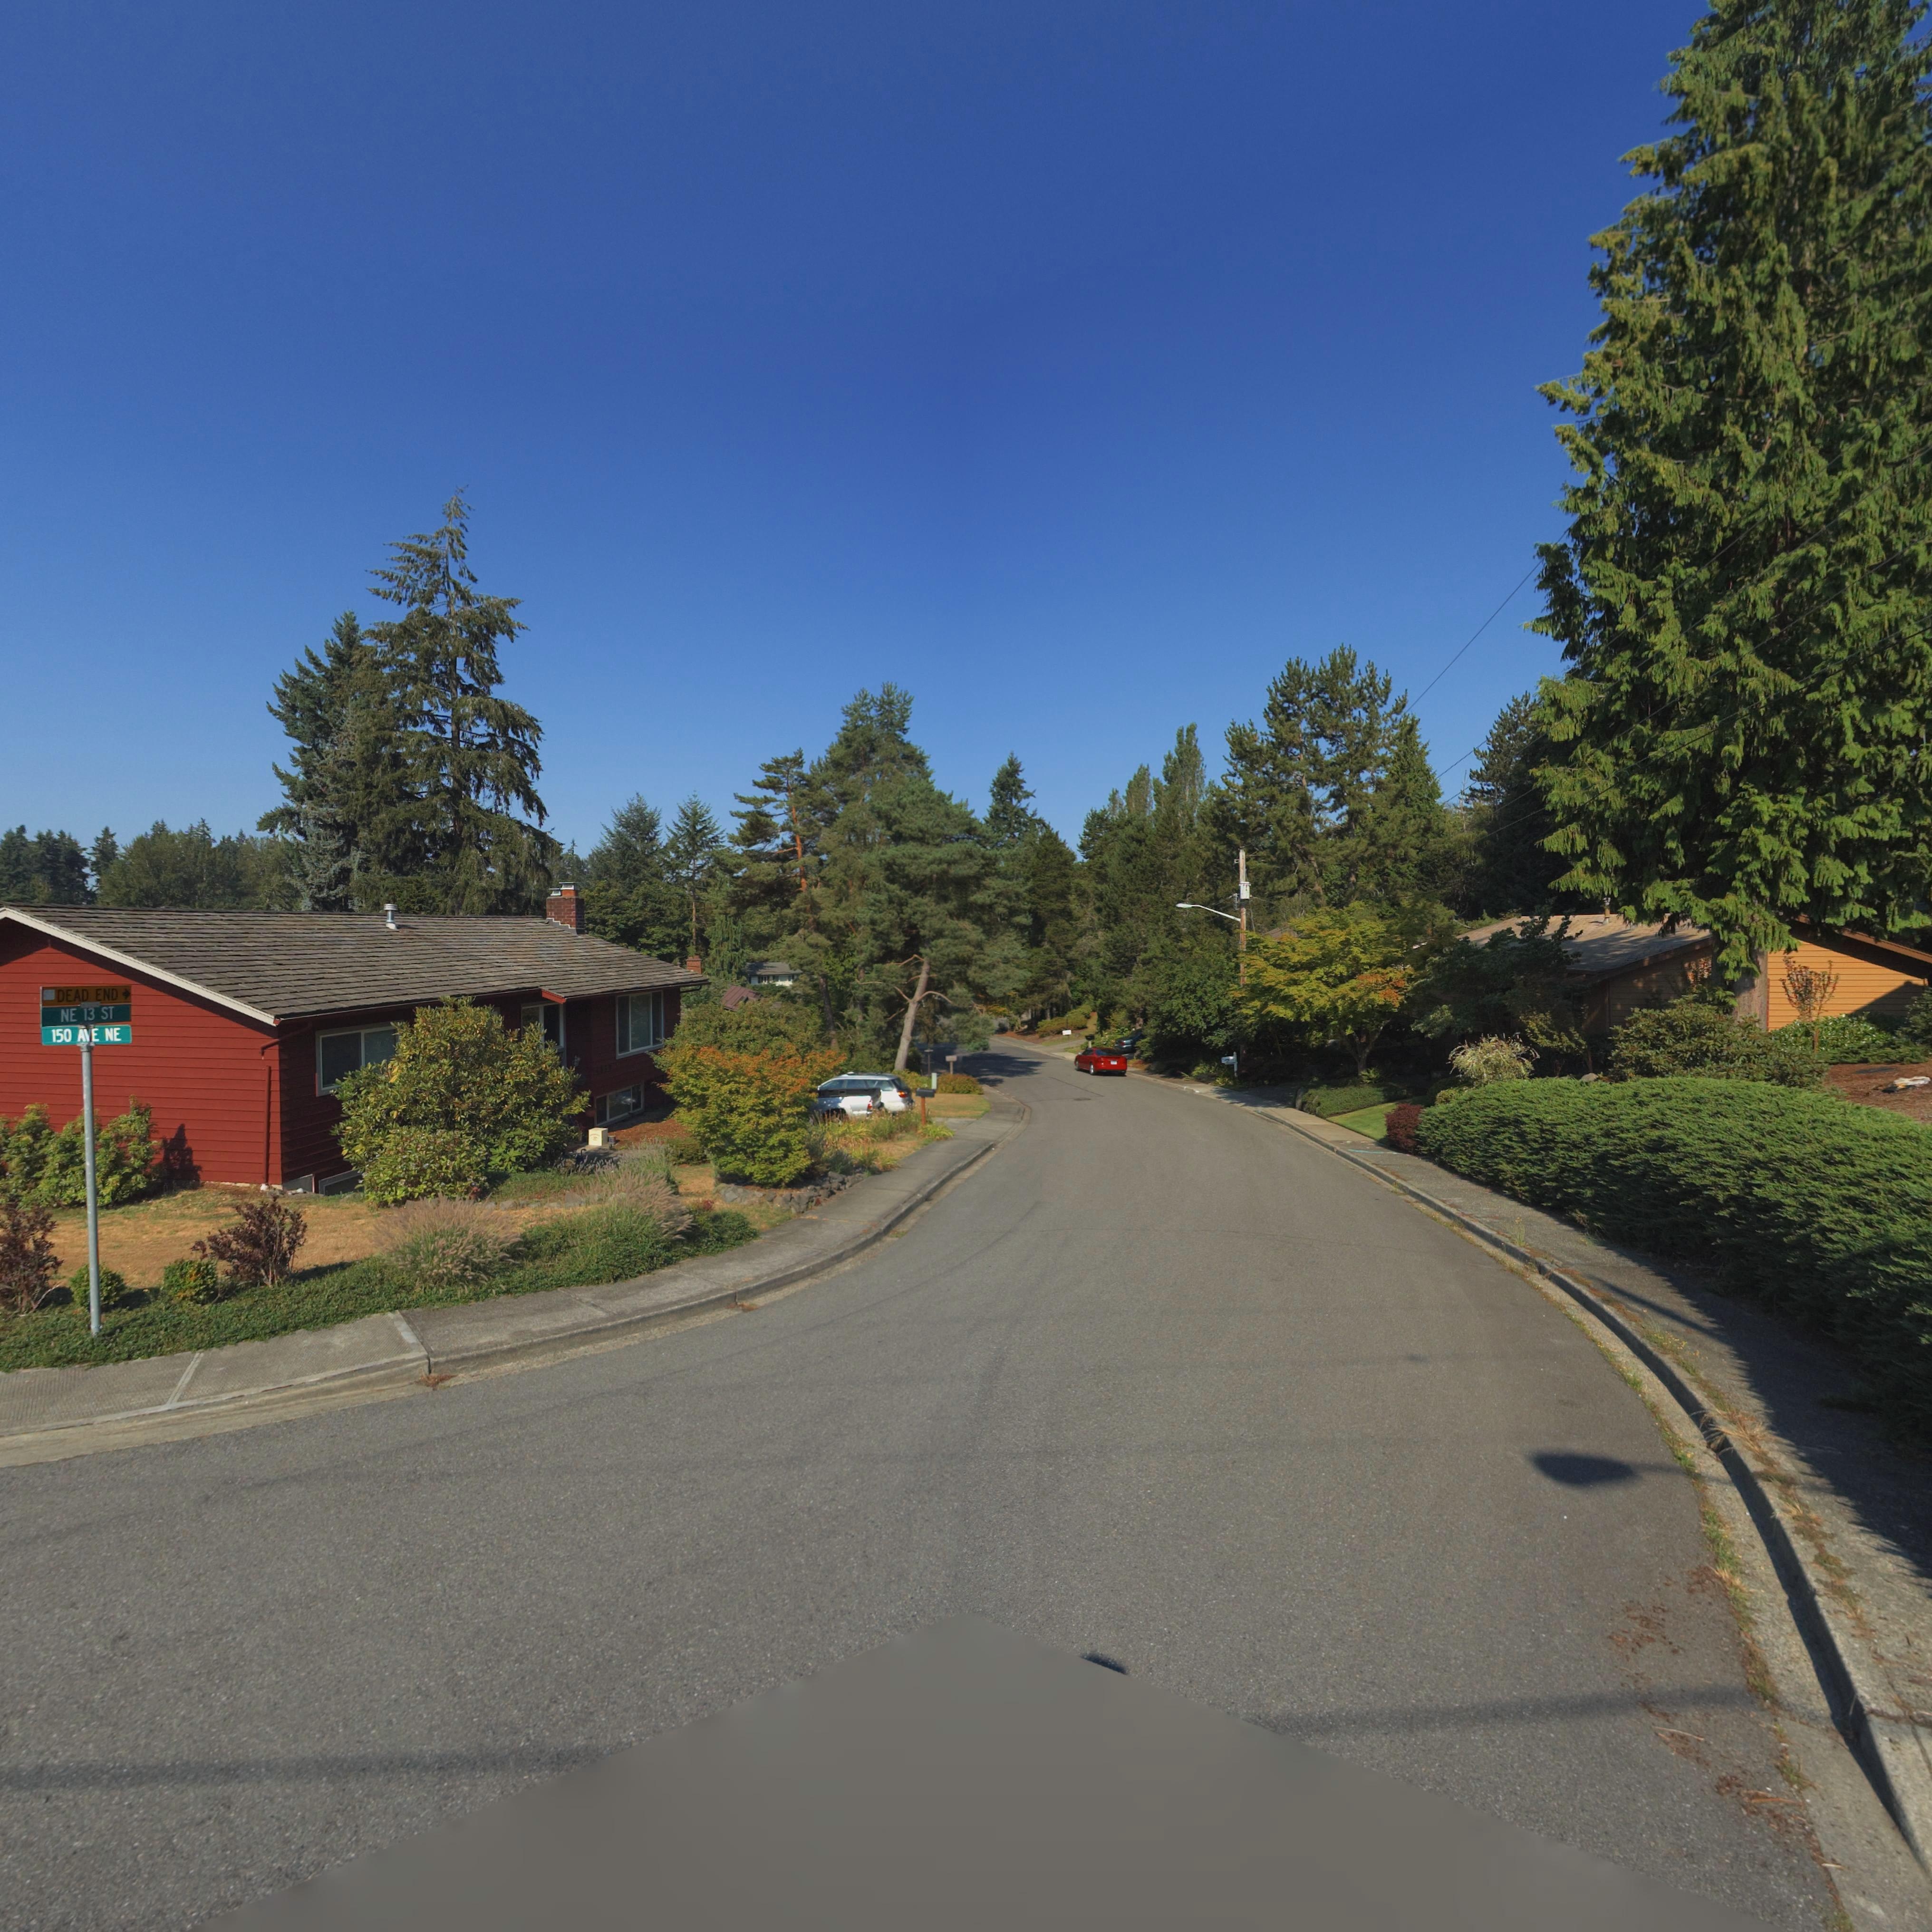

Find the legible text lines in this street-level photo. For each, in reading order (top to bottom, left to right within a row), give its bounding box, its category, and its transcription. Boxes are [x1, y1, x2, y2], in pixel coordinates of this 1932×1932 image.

[60, 1008, 115, 1021] StreetName: NE 13 ST
[51, 1028, 125, 1042] StreetName: 150 AVE NE